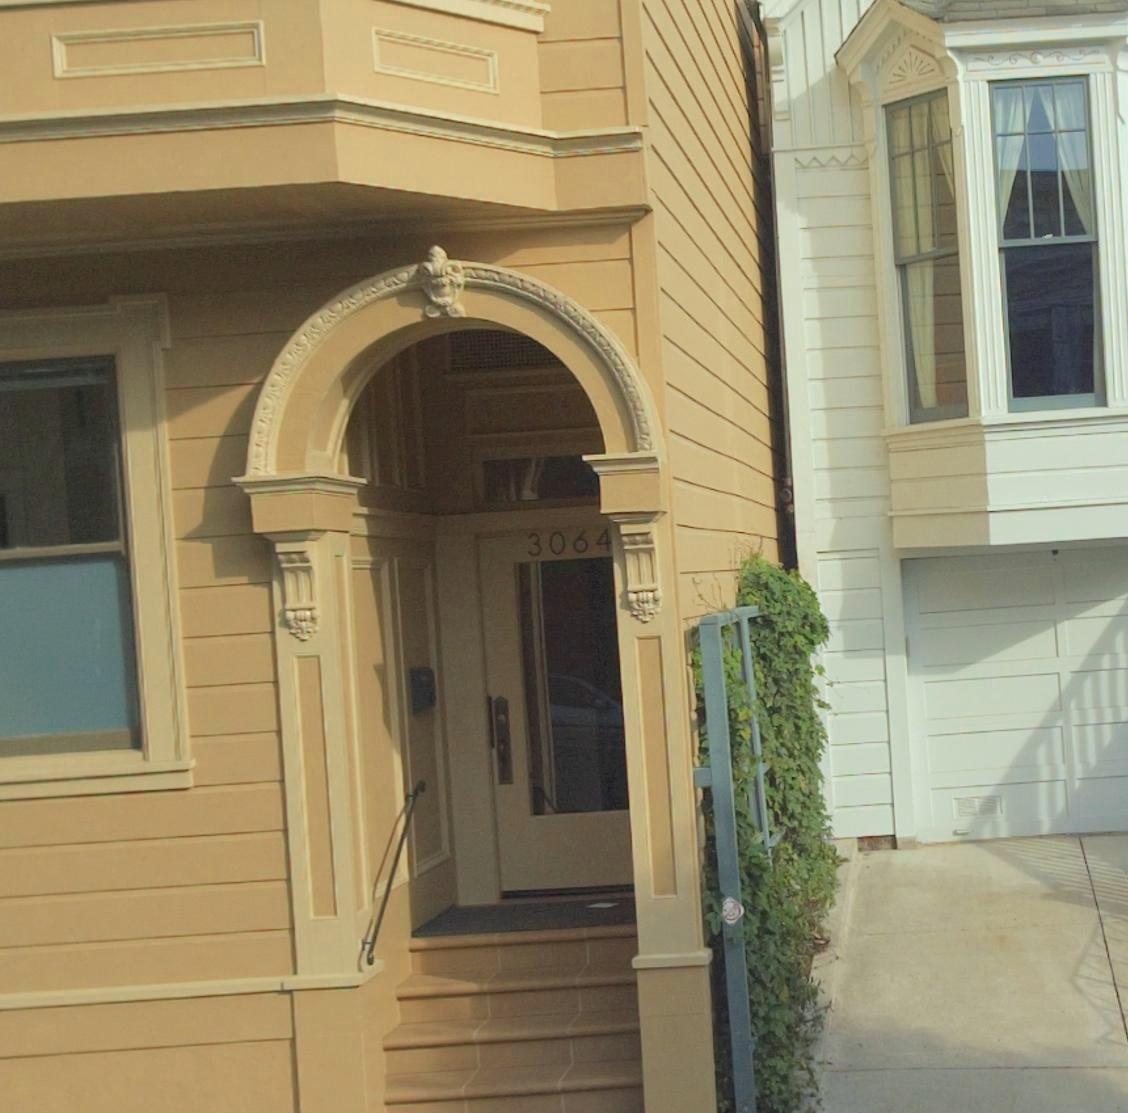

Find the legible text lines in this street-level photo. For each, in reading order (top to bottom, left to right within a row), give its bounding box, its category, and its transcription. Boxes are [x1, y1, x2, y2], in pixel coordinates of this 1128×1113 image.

[524, 524, 614, 560] StreetNumber: 3064